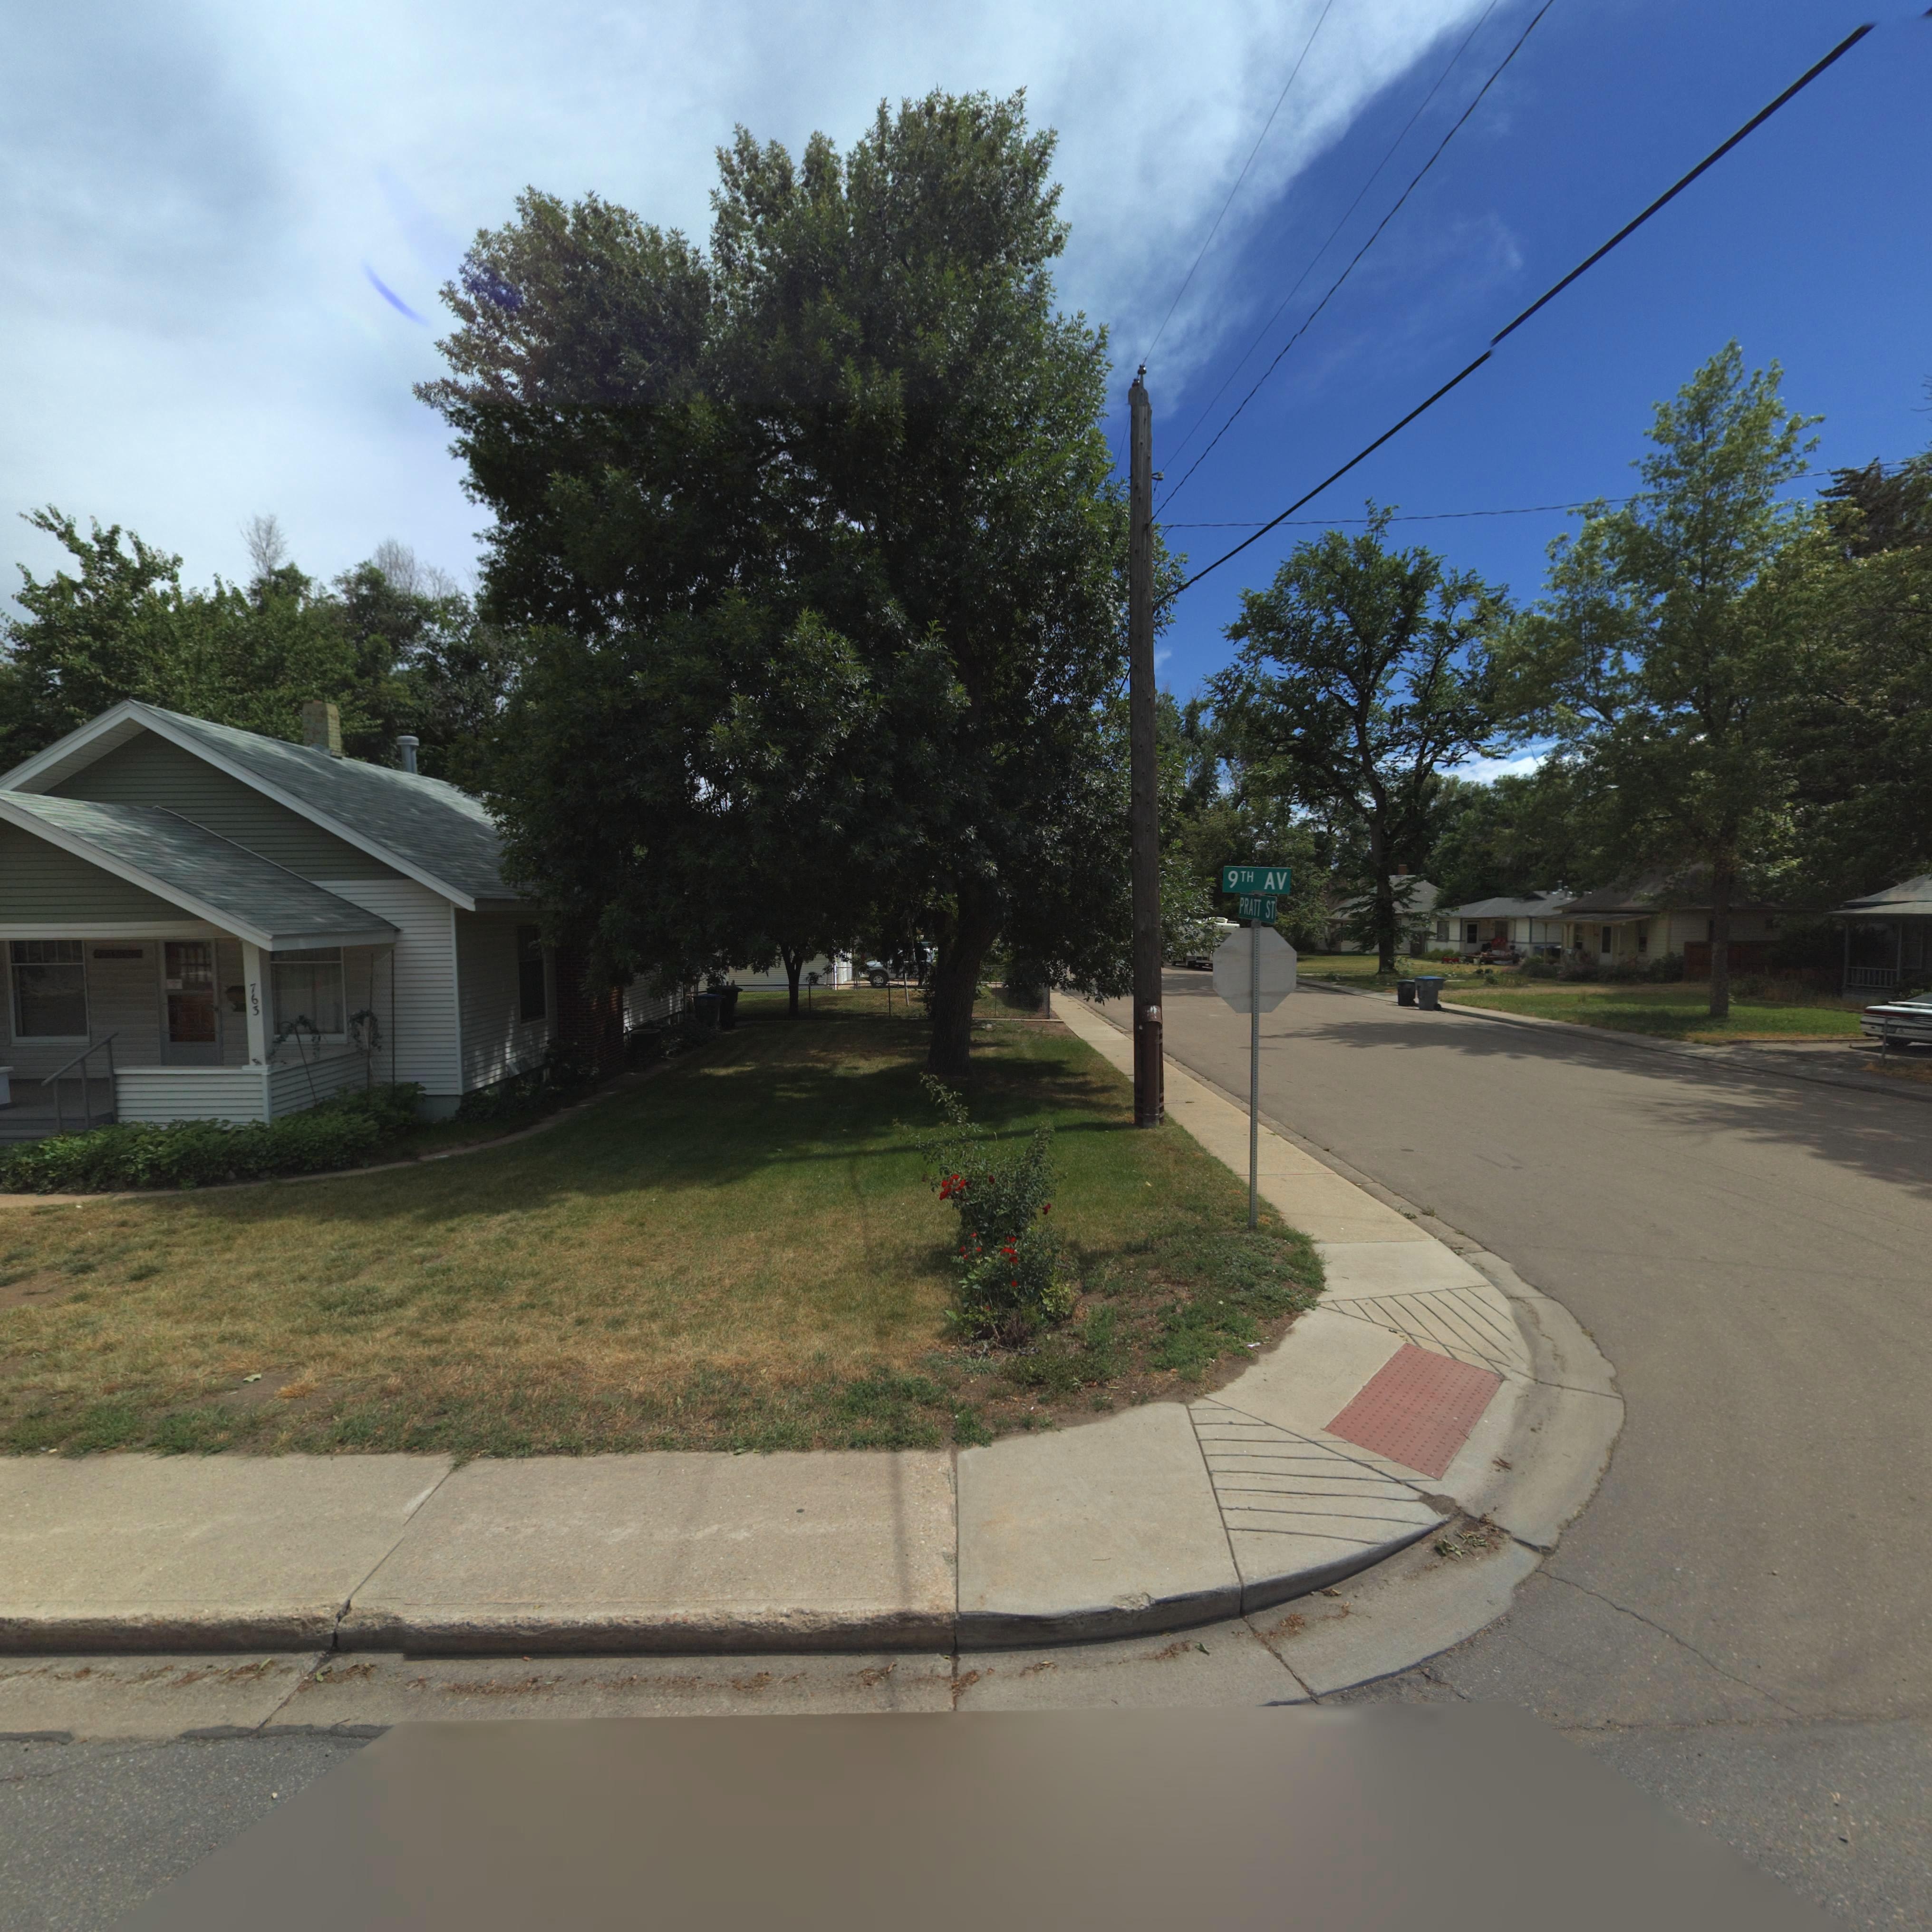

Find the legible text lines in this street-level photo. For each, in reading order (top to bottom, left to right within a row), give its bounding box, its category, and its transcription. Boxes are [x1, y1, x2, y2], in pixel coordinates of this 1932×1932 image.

[1228, 870, 1287, 889] StreetName: 9TH AV
[1239, 897, 1275, 918] StreetName: PRATT ST
[249, 983, 259, 1016] StreetNumber: 763